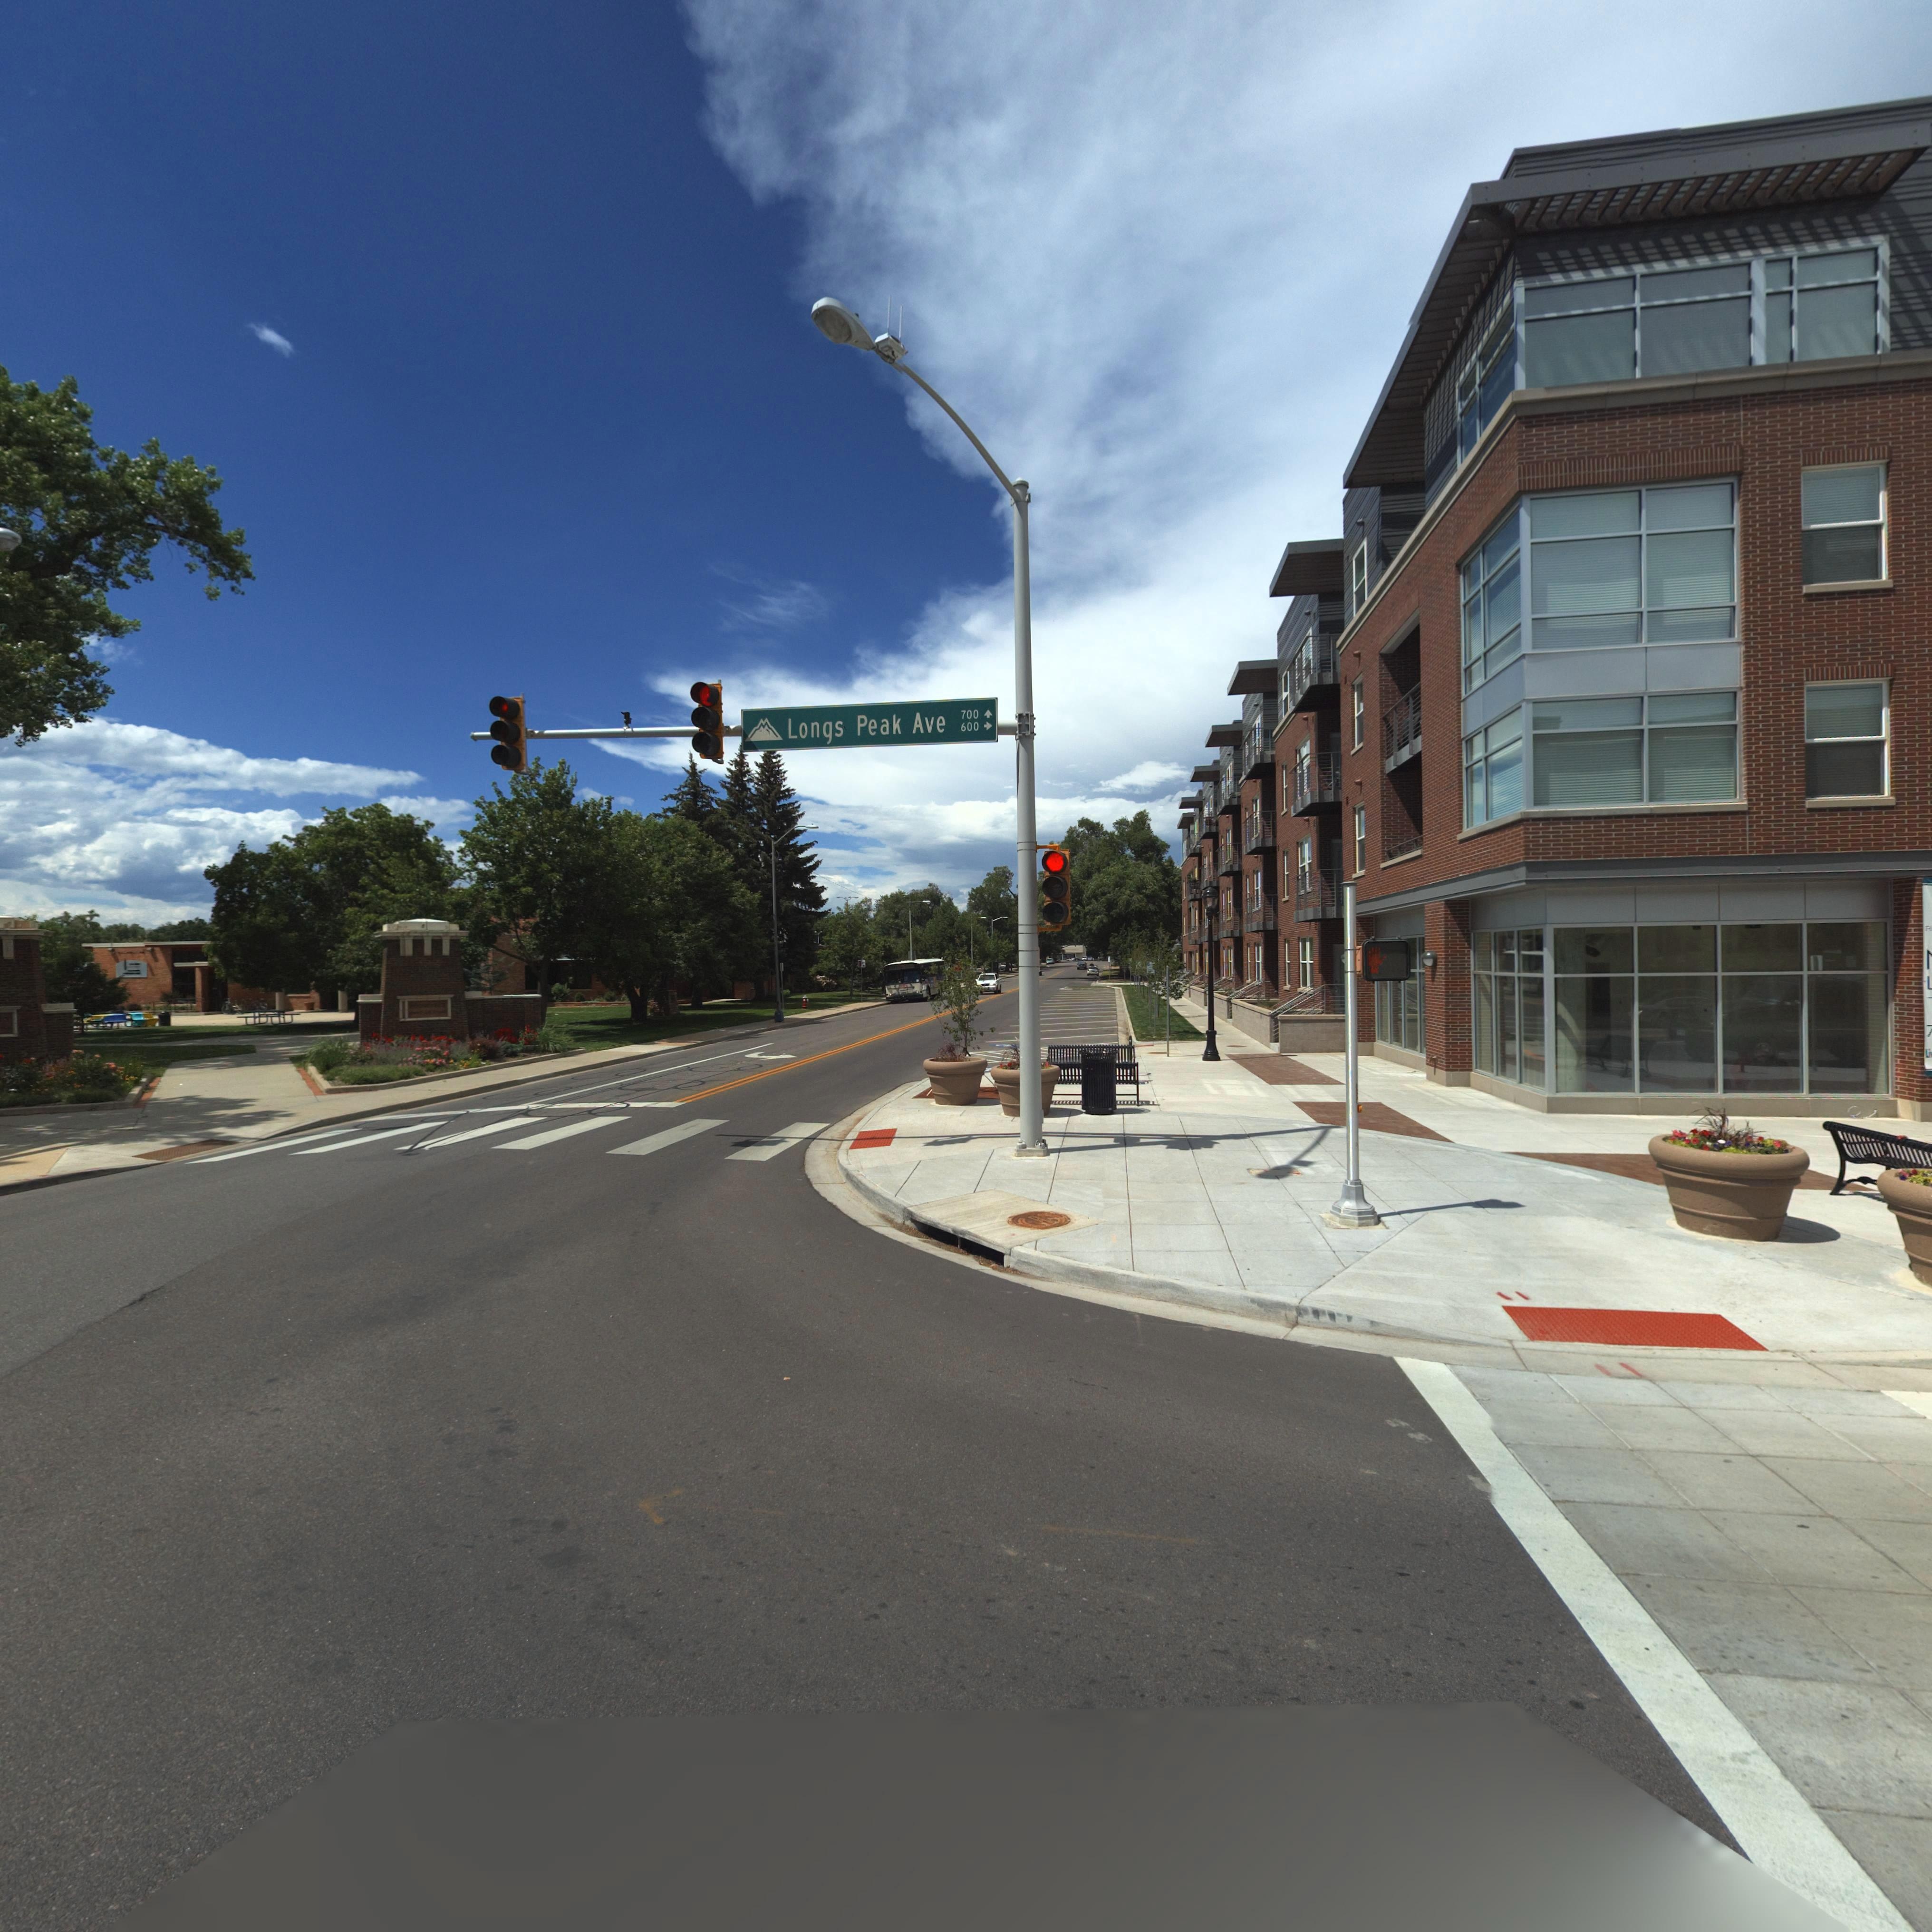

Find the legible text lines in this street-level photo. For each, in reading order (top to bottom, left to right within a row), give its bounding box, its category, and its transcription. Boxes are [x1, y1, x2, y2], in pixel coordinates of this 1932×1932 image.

[961, 709, 979, 719] StreetNumberRange: 700
[788, 711, 947, 745] StreetName: Longs Peak Ave
[960, 720, 993, 732] StreetNumberRange: 600 ->